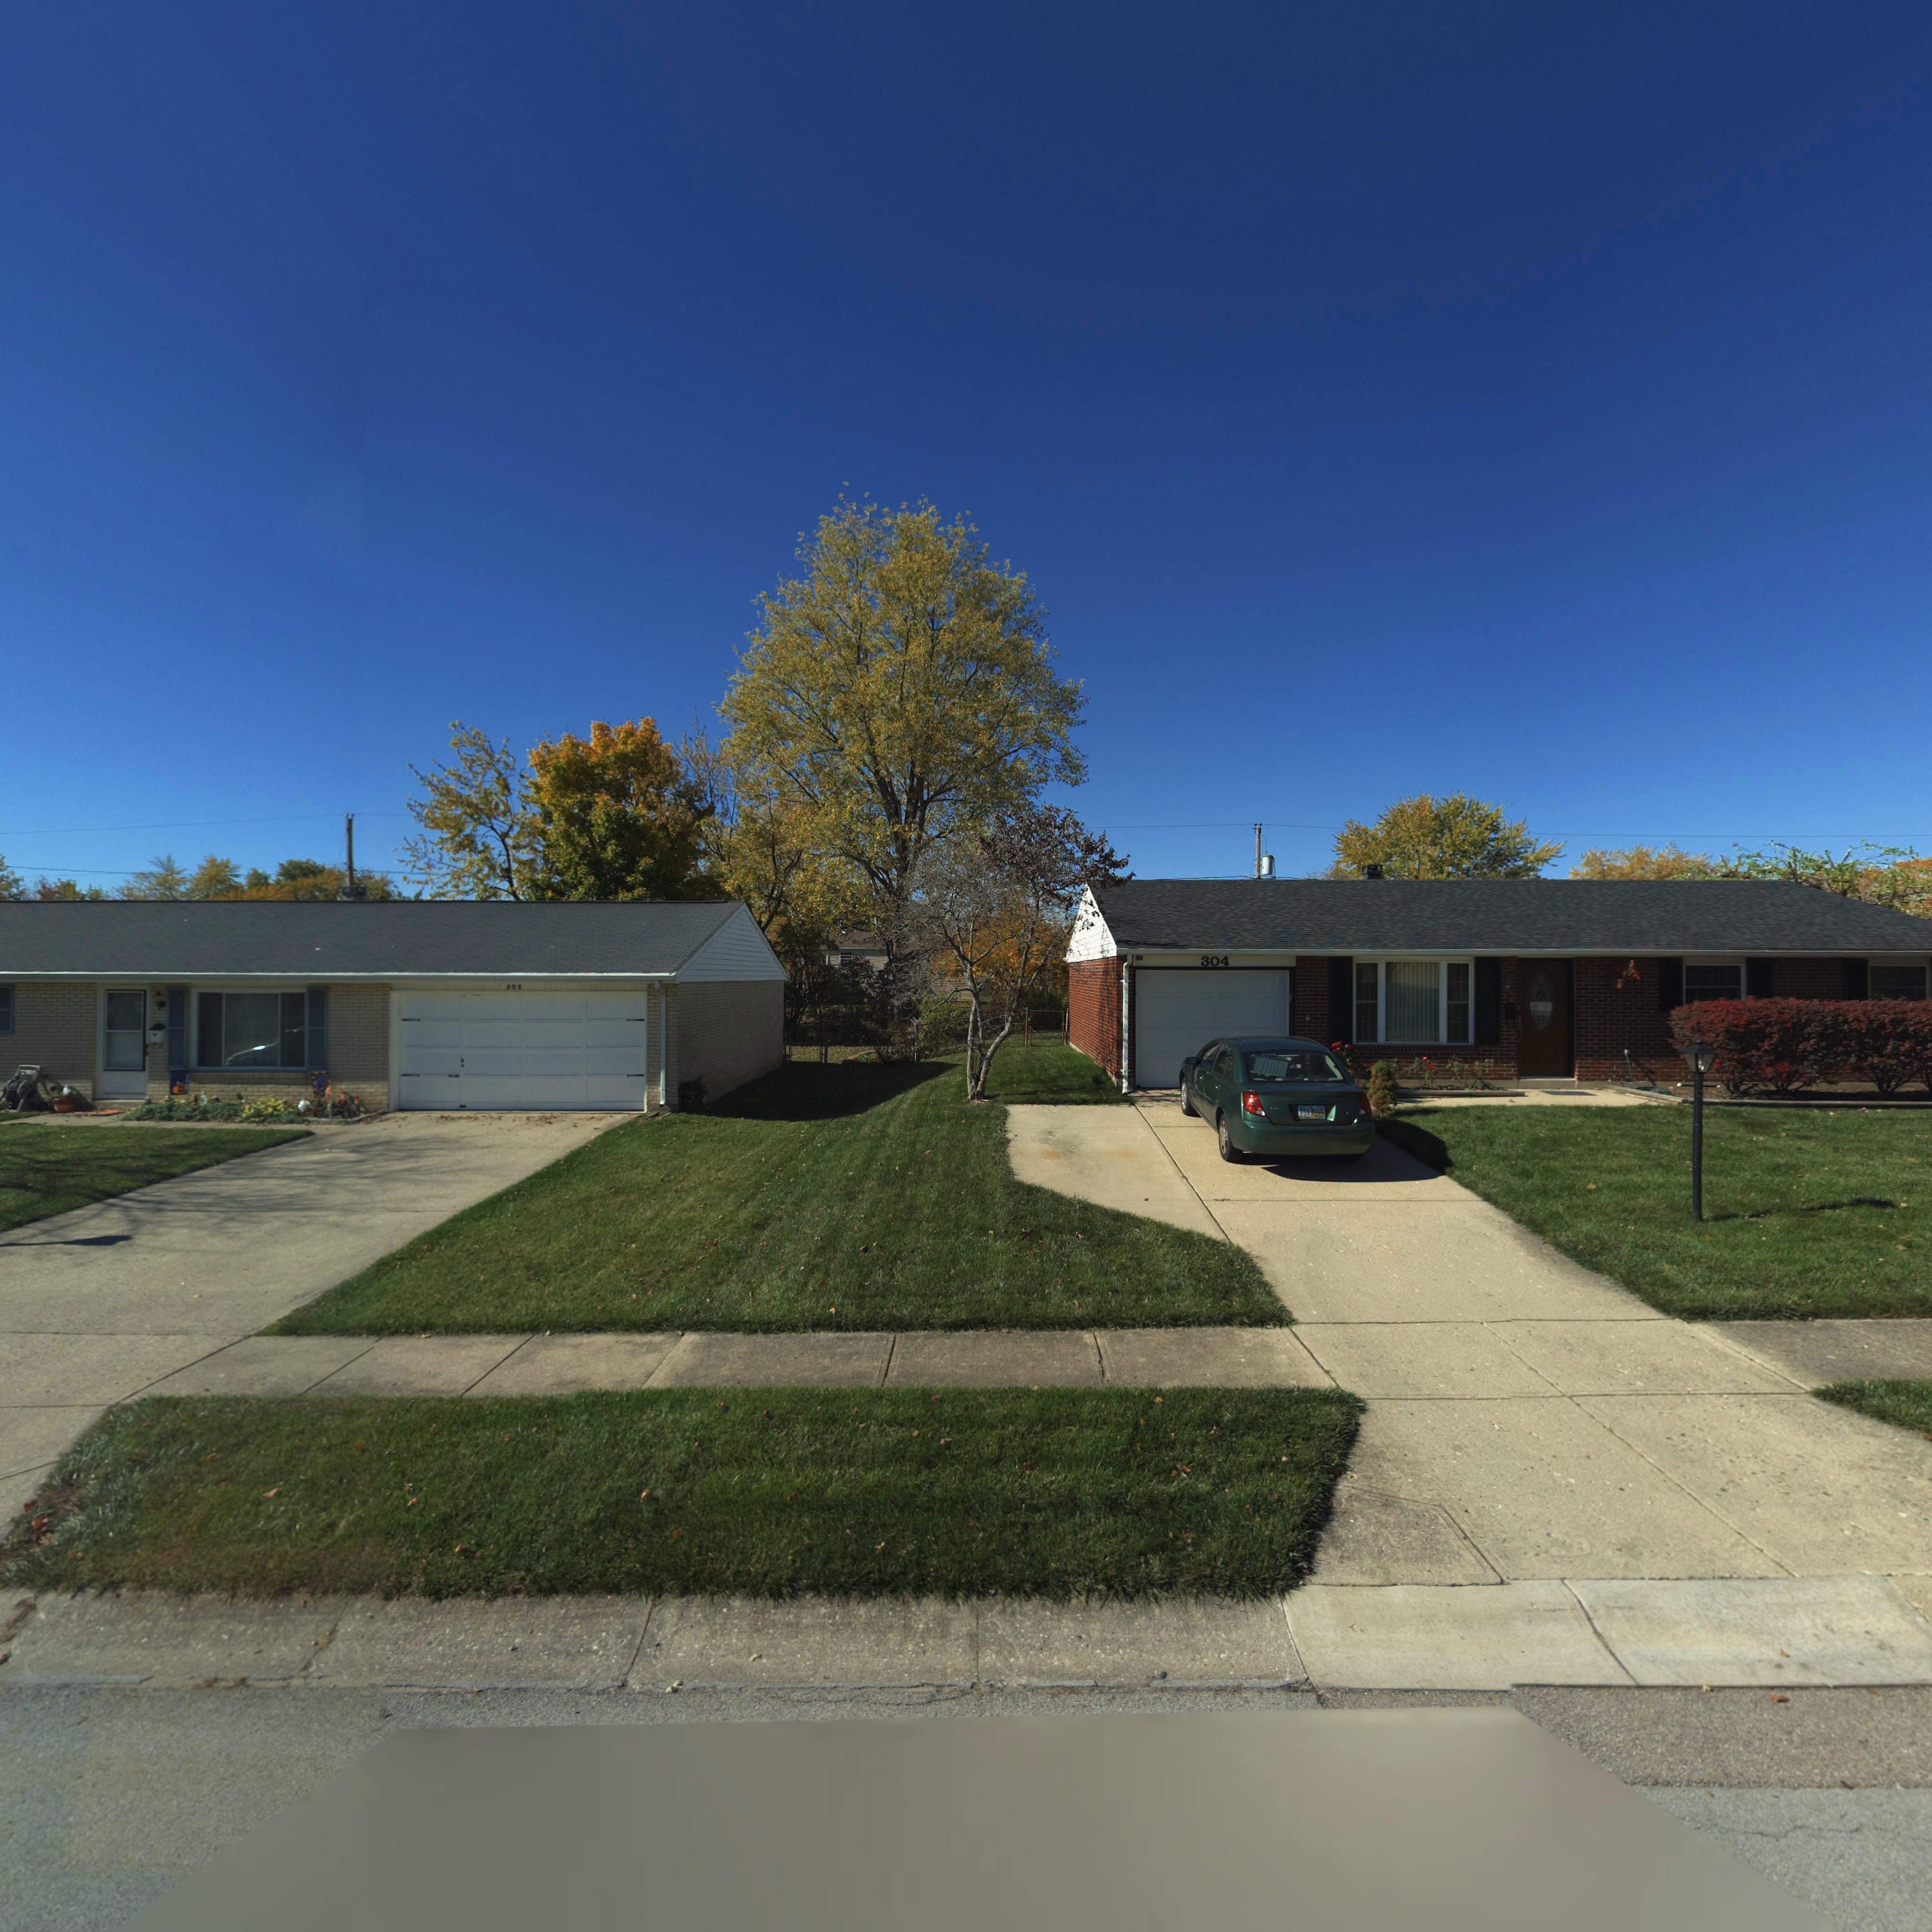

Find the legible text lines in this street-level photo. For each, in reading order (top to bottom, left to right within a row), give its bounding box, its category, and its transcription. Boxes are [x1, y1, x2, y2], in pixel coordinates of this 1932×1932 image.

[1201, 955, 1229, 966] StreetNumber: 304
[506, 984, 522, 990] StreetNumber: 302